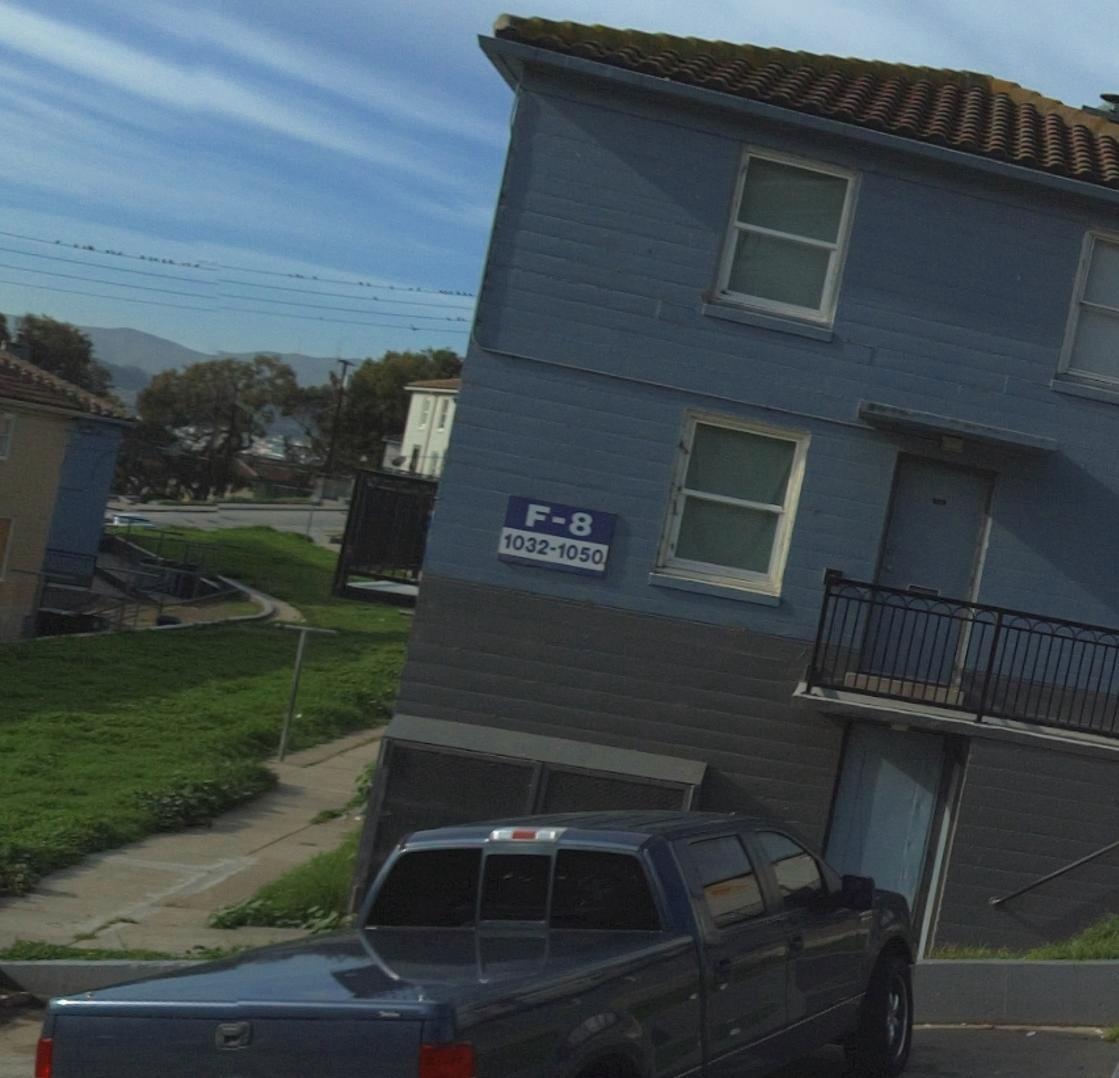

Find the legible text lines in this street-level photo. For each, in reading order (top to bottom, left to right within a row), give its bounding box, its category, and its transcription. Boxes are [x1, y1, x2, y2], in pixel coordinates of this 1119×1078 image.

[522, 502, 597, 539] None: F-8
[501, 530, 551, 557] StreetNumber: 1032
[556, 541, 606, 567] StreetNumber: 1050